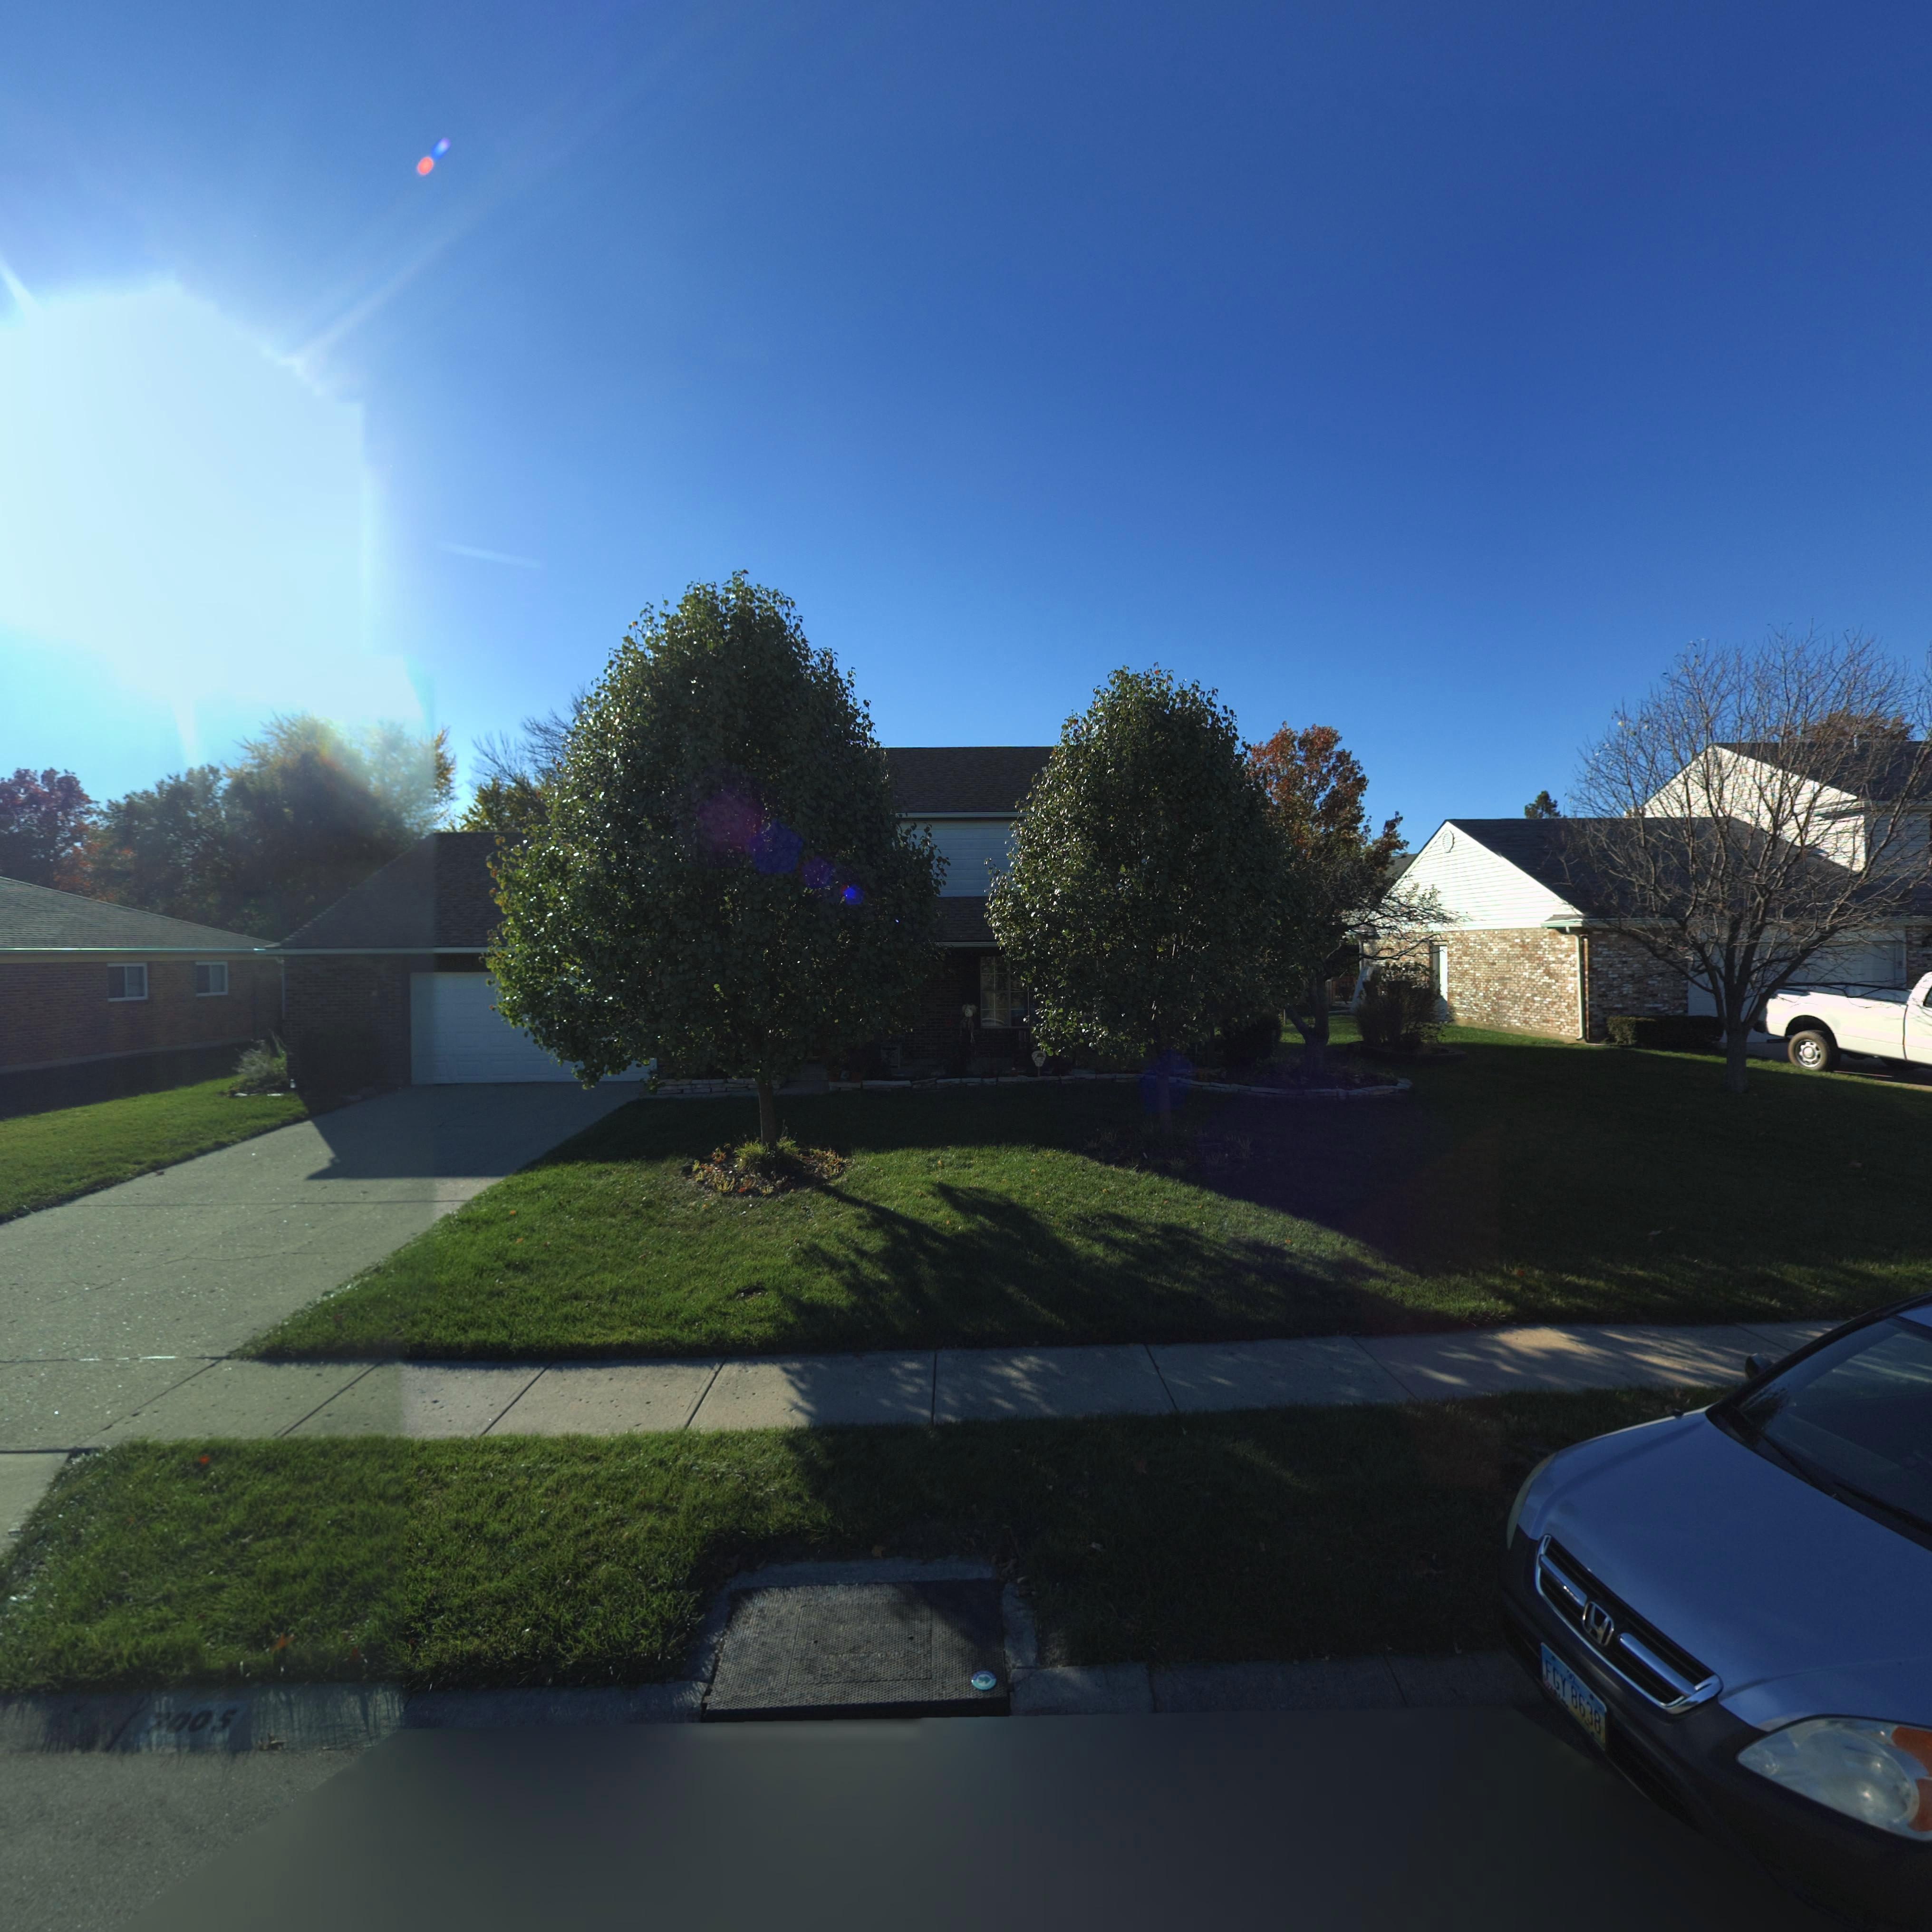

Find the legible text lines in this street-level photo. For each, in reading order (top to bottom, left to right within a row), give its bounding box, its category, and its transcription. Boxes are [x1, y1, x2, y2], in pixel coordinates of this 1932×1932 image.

[141, 1707, 240, 1734] StreetNumber: 7005